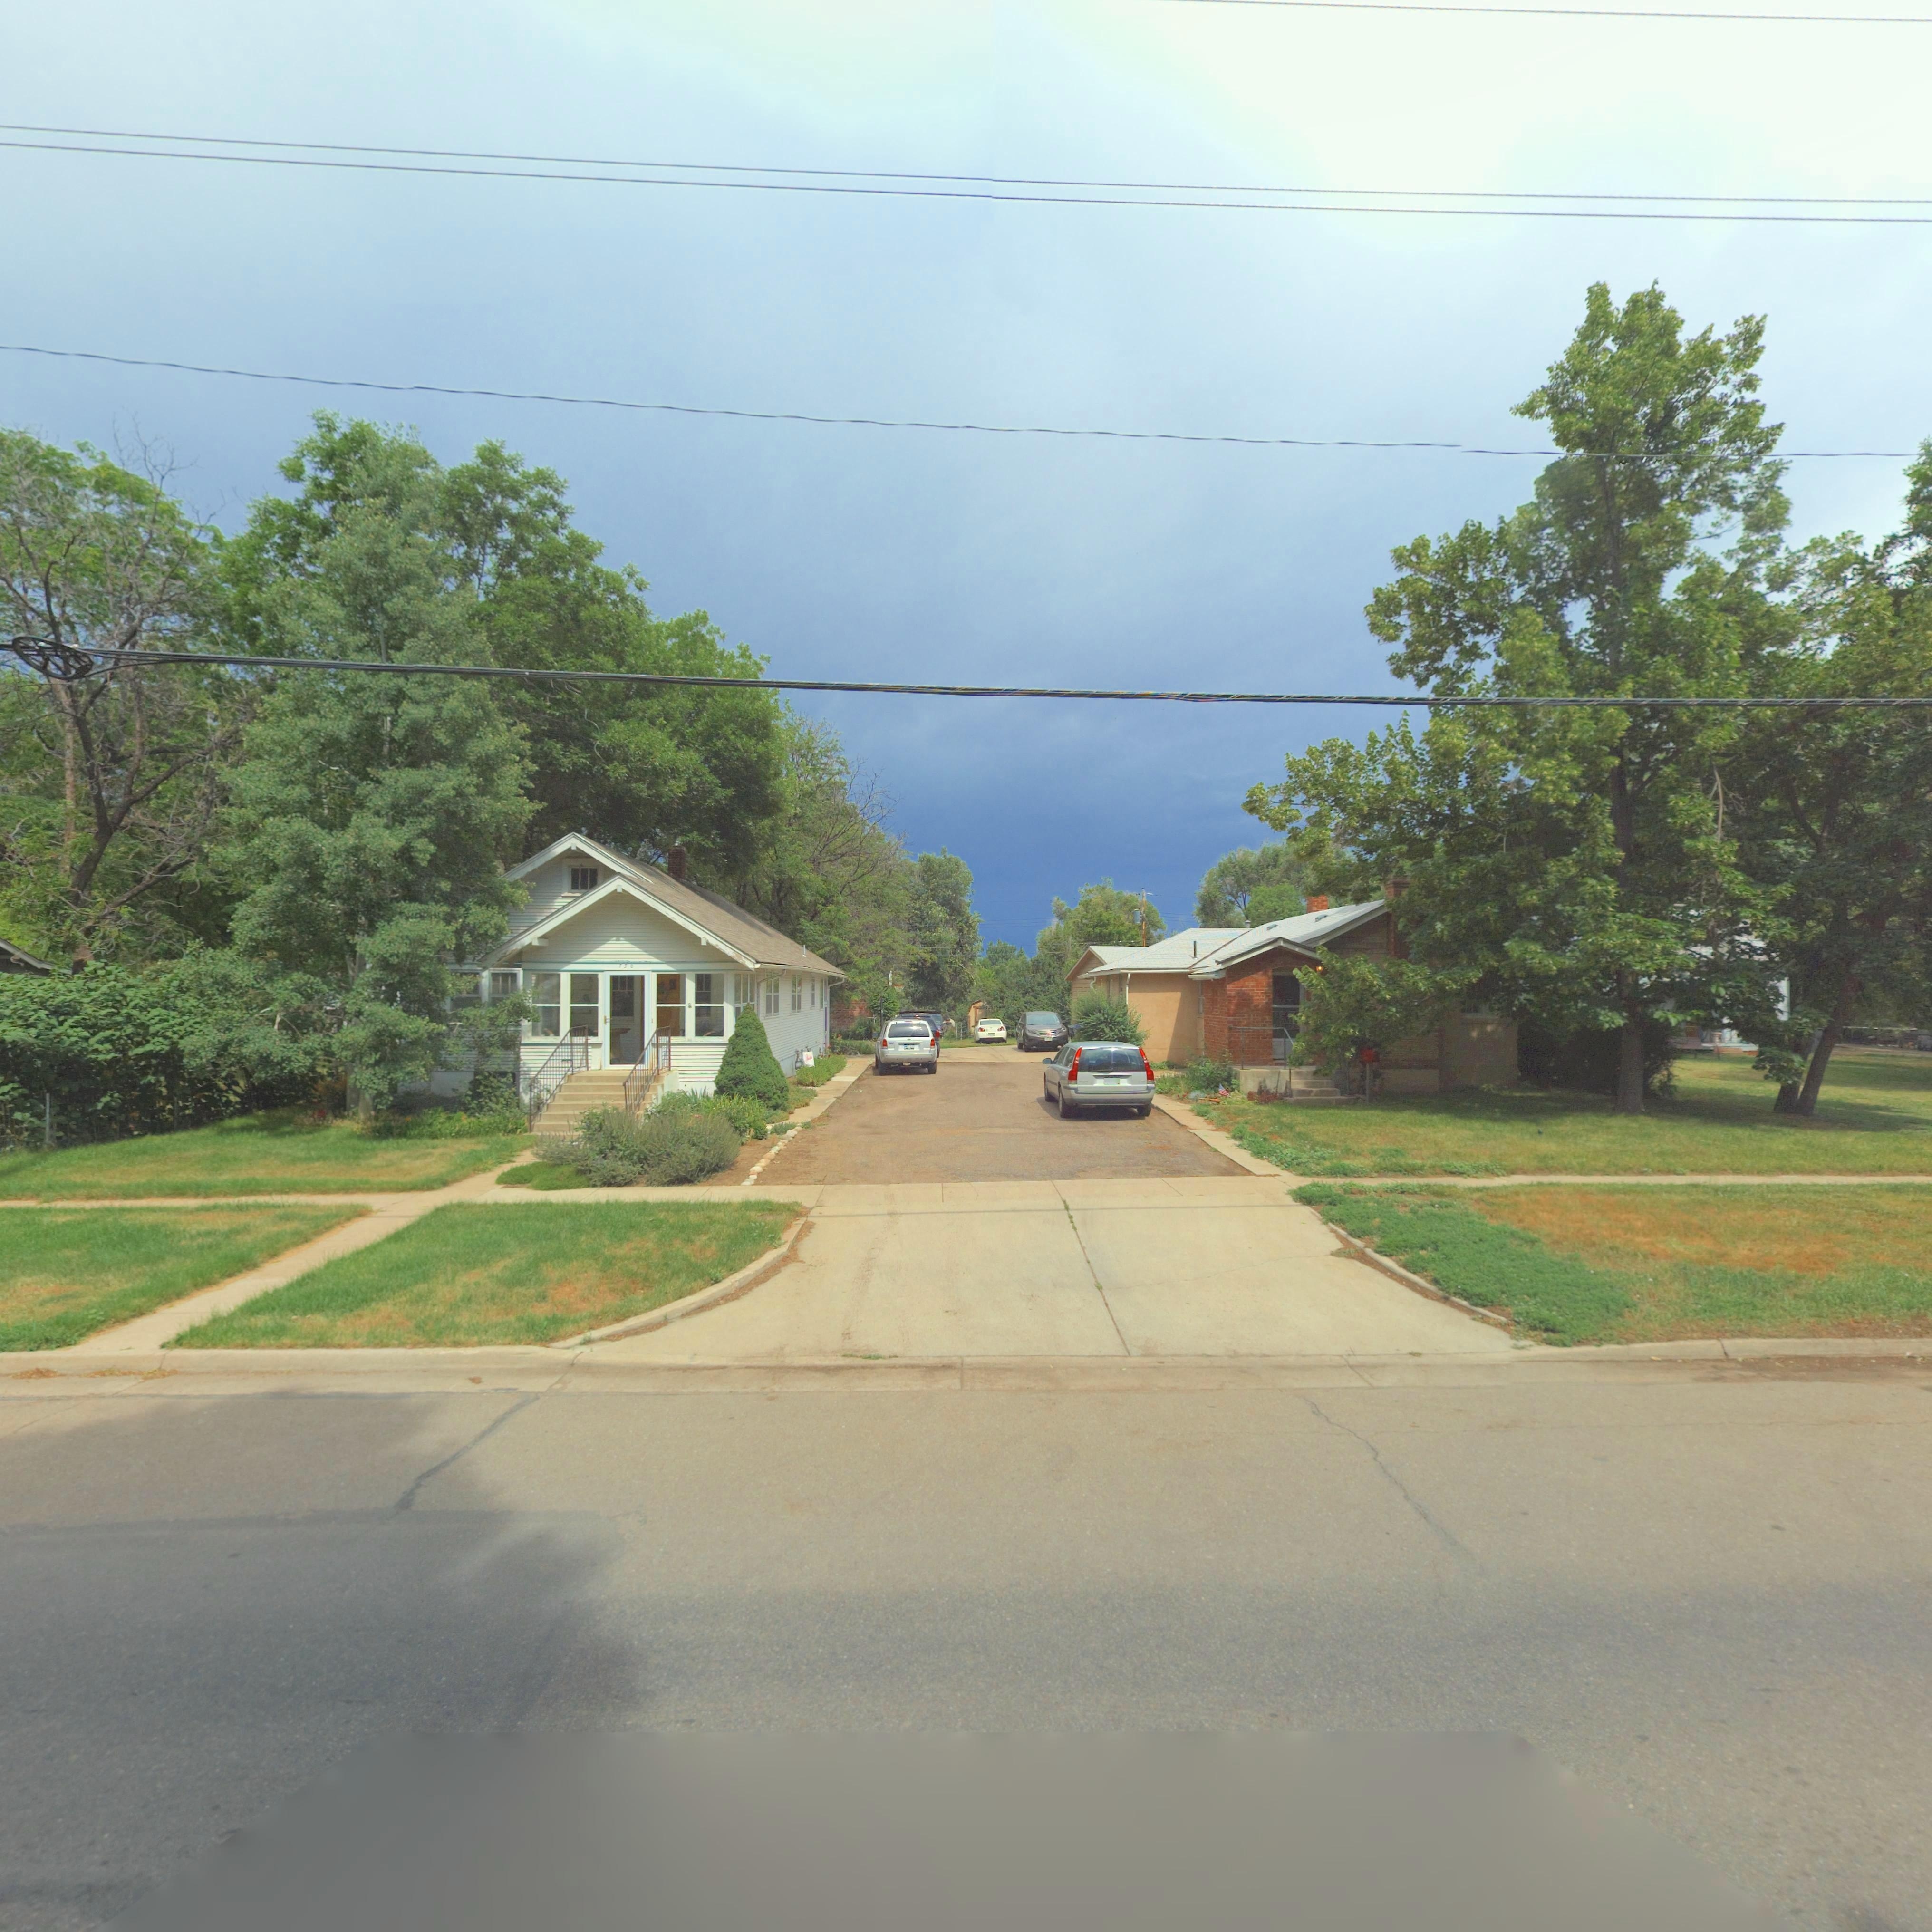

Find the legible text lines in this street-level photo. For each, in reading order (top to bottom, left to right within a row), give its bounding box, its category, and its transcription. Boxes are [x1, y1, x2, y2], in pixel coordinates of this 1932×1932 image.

[618, 963, 634, 968] StreetNumber: 750